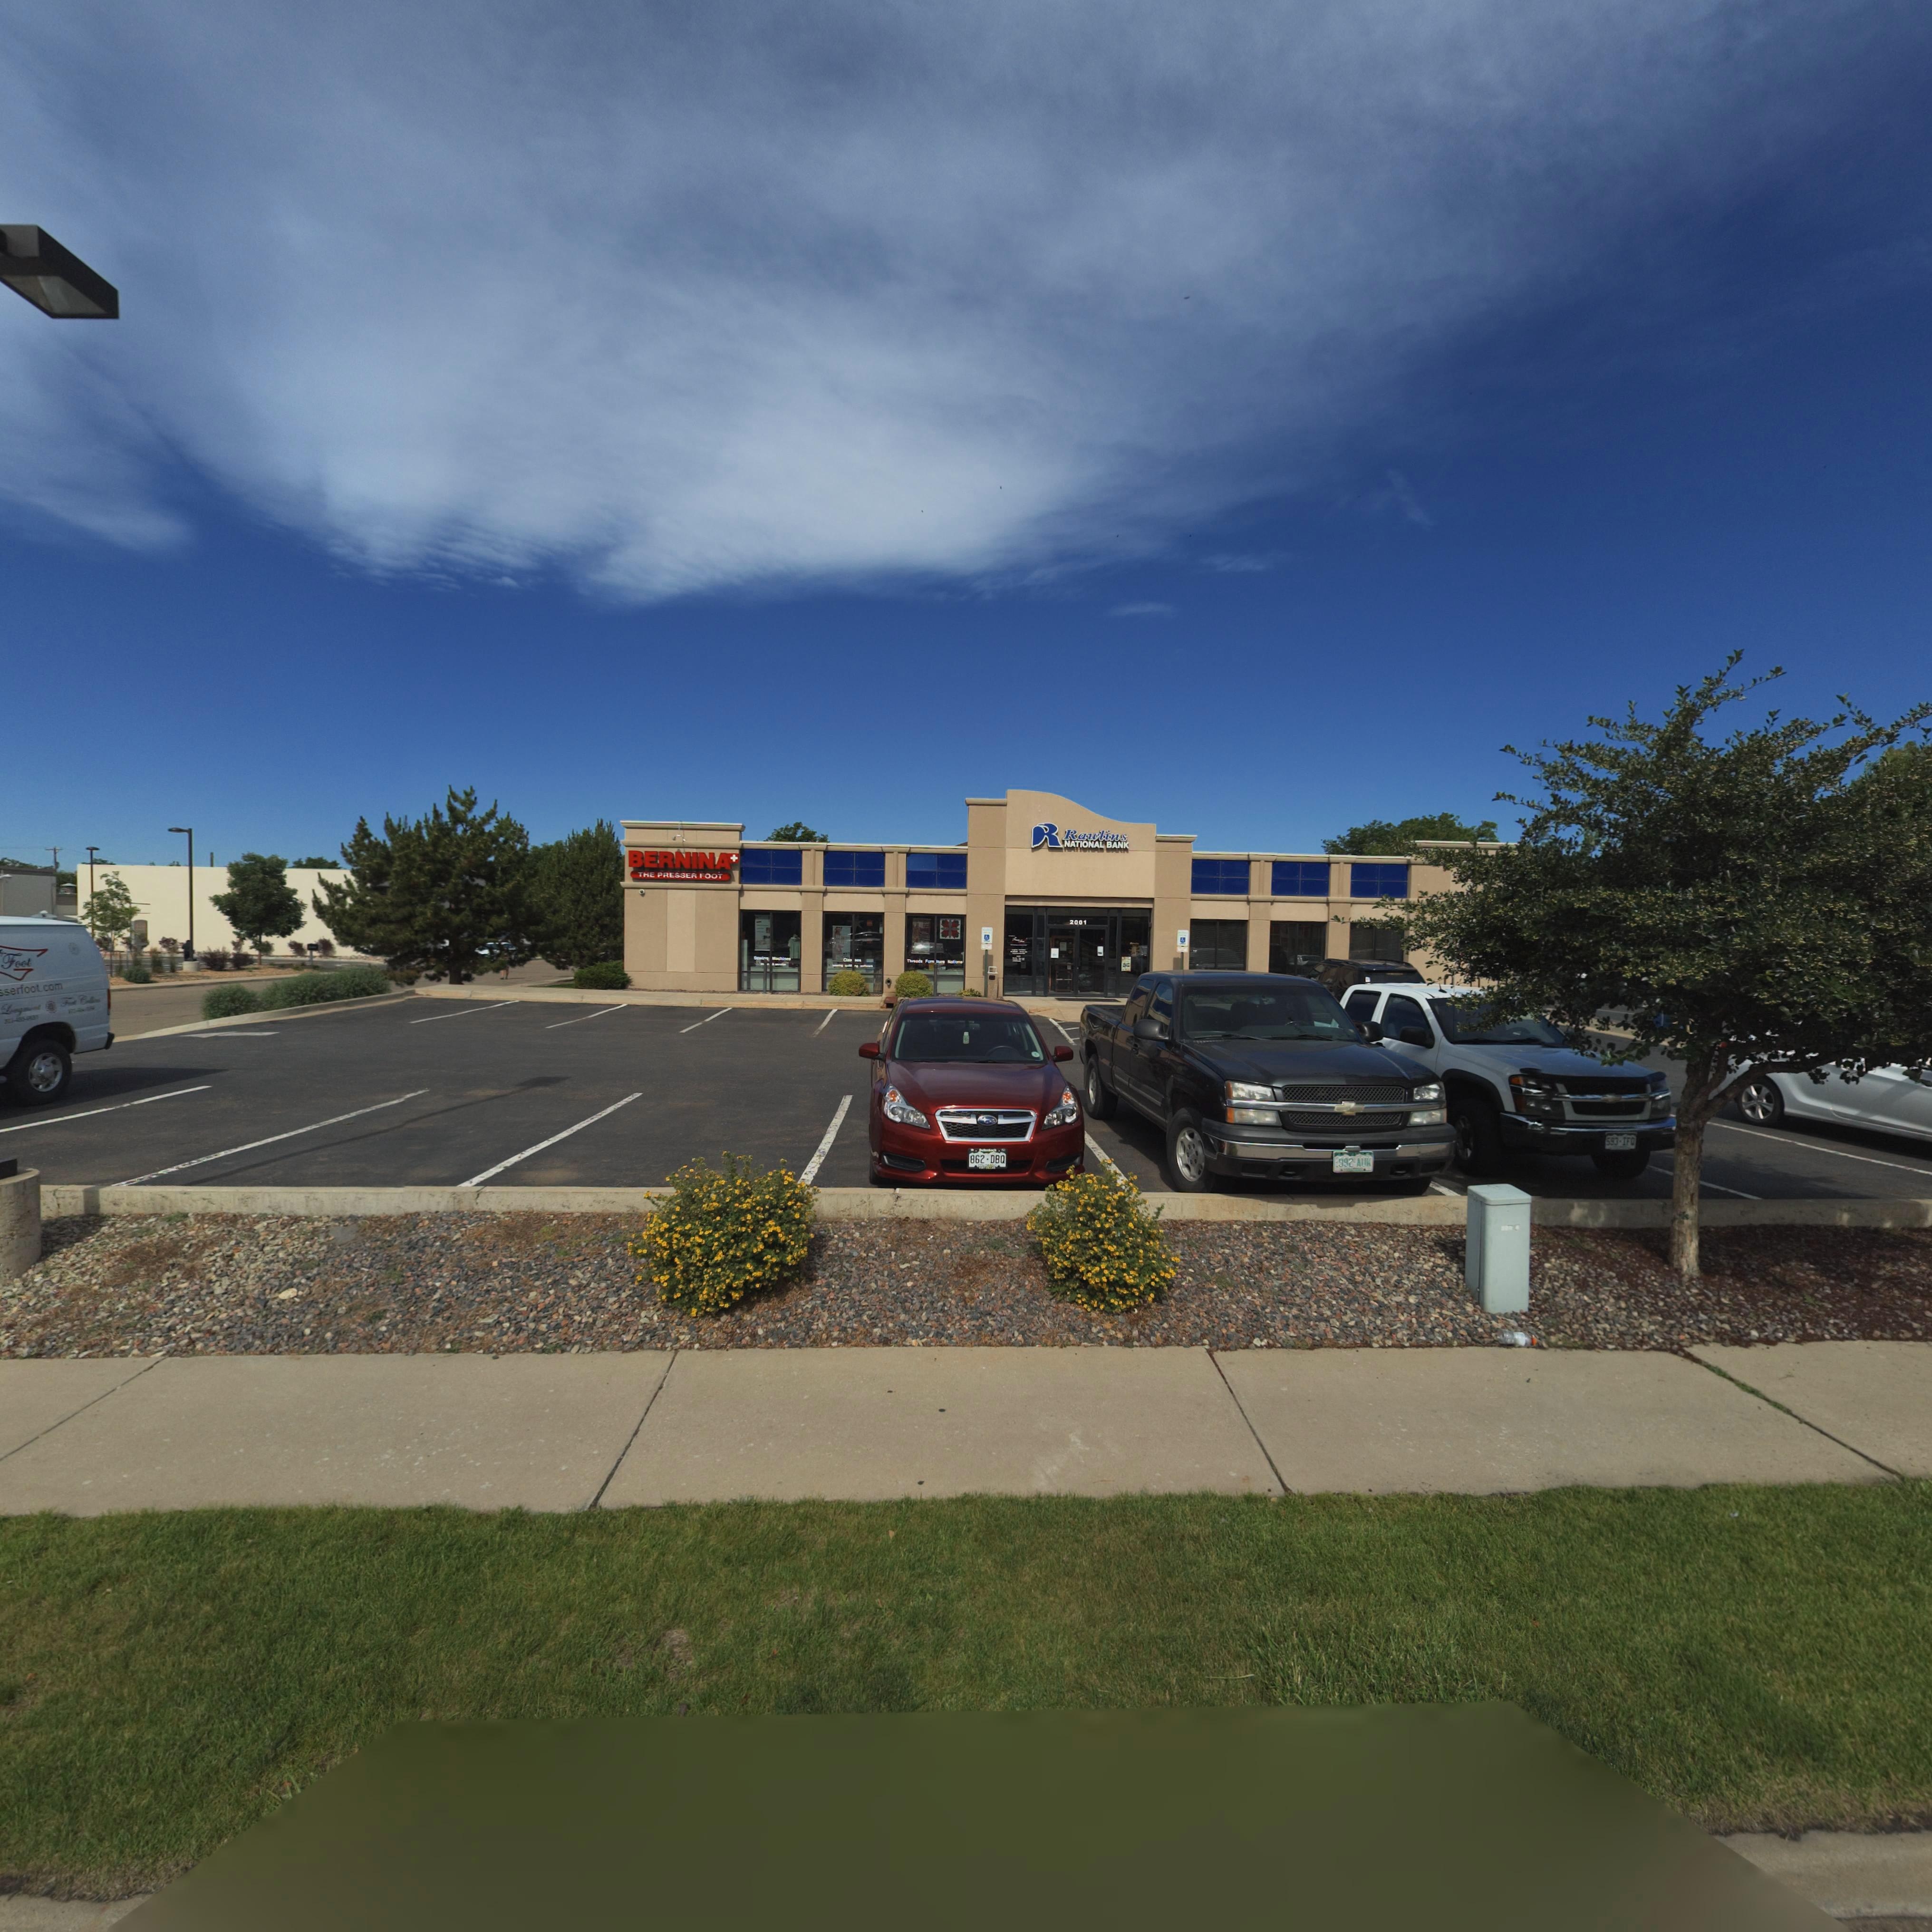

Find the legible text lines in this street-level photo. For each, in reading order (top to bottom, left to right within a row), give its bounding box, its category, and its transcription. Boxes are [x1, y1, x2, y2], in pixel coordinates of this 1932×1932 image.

[1063, 829, 1127, 841] BusinessName: RAWLINS
[1064, 840, 1130, 849] BusinessName: NATIONAL BANK
[628, 850, 732, 869] BusinessName: BERNINA
[637, 871, 723, 879] BusinessName: THE PRESSER FOOT
[1069, 919, 1086, 925] StreetNumber: 2001